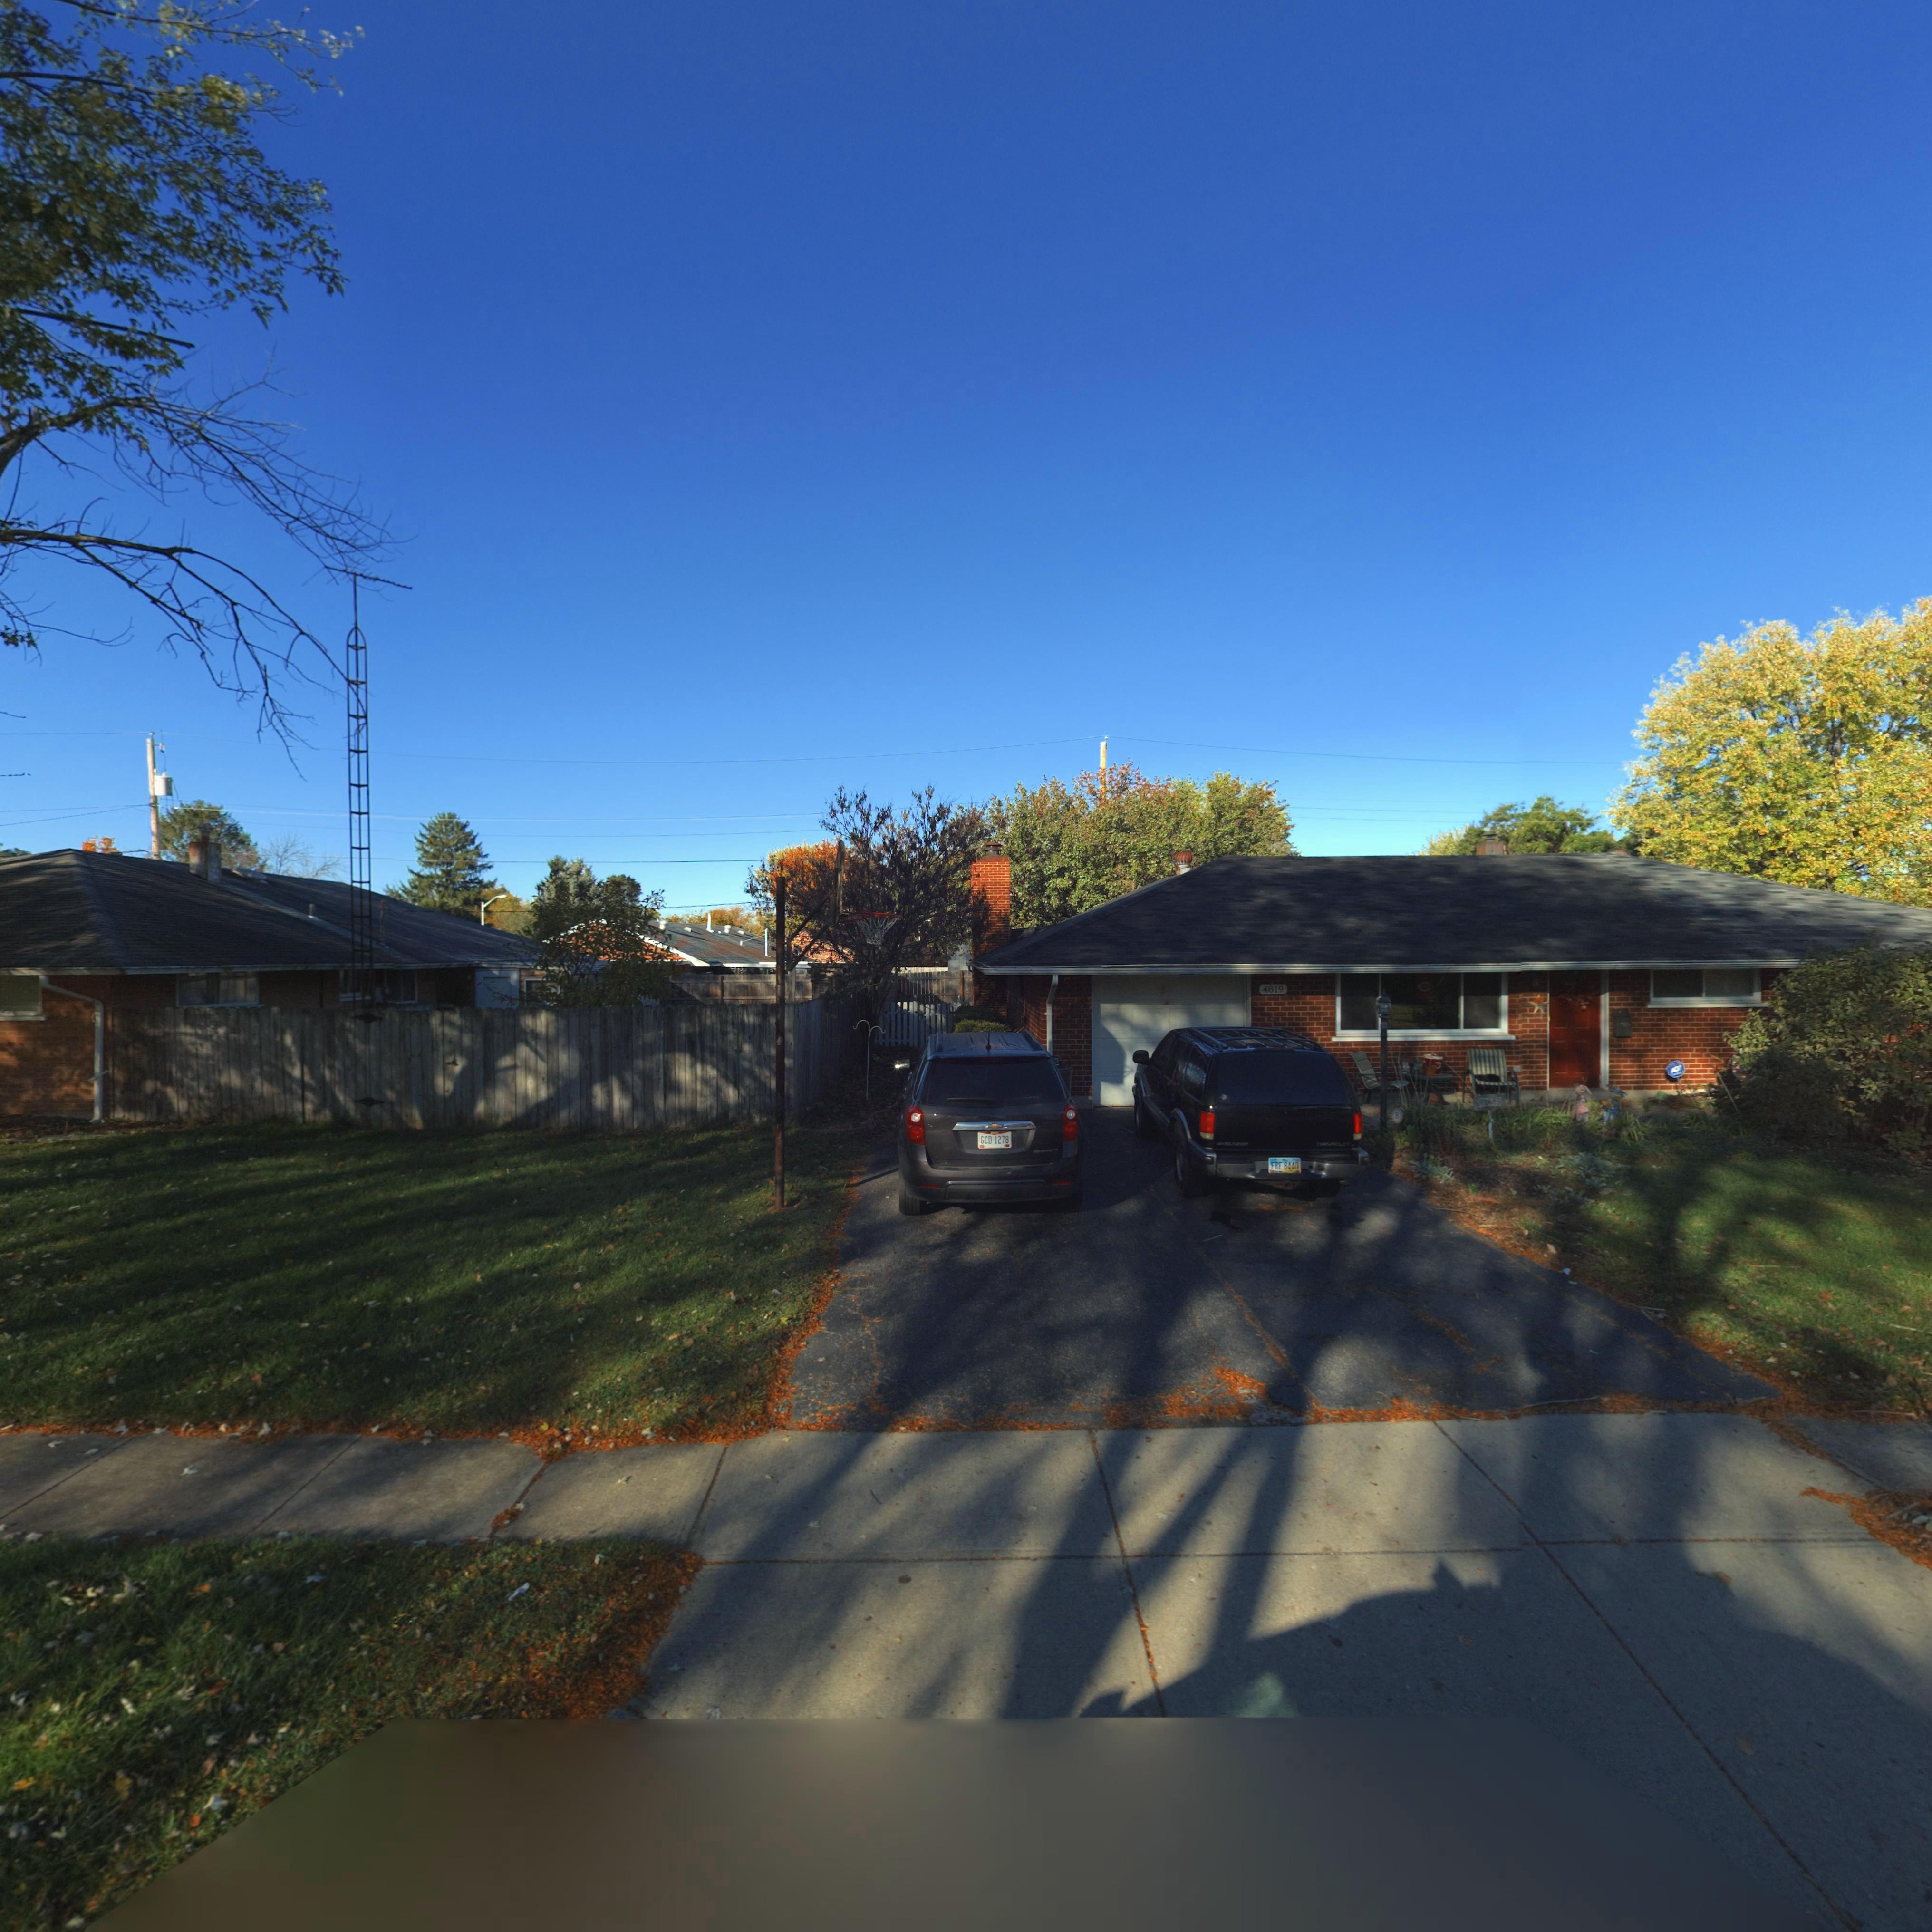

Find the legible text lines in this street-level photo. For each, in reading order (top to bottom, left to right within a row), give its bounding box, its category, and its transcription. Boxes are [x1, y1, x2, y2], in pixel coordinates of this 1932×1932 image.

[1262, 985, 1284, 994] StreetNumber: 4819